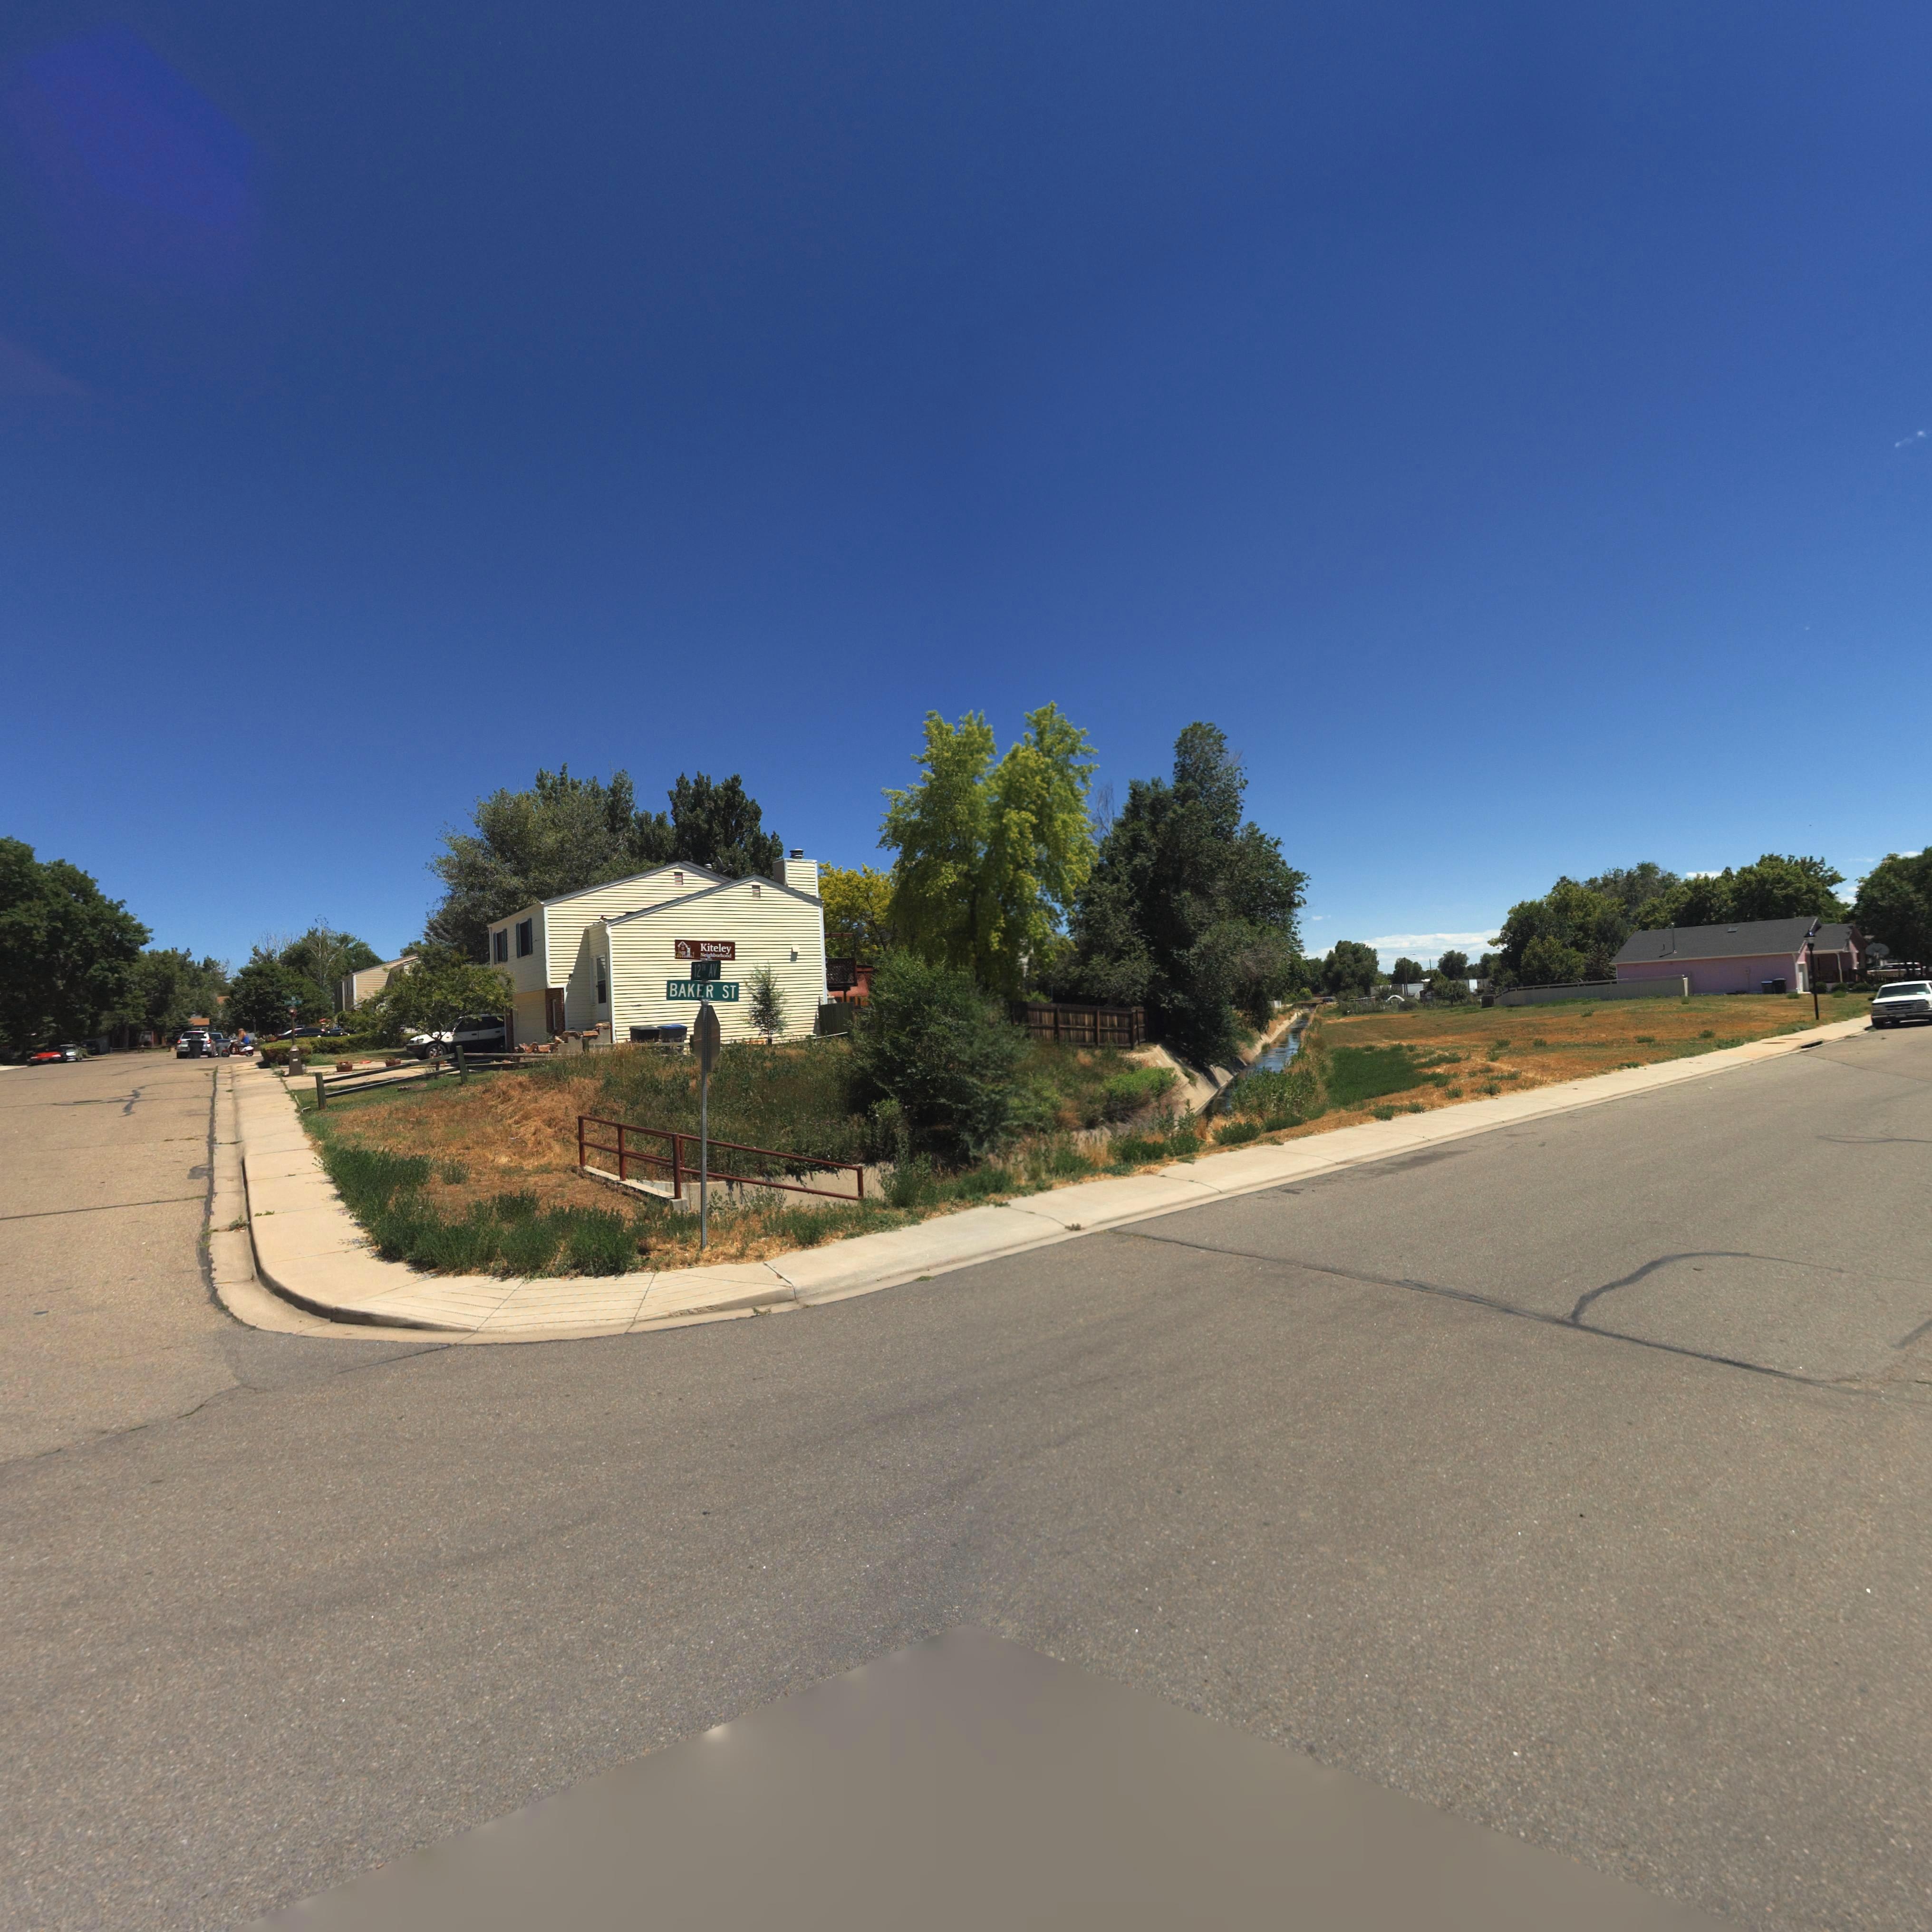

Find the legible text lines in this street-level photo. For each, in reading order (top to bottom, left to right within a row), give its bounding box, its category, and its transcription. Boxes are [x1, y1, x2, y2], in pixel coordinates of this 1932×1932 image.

[694, 963, 718, 977] StreetName: 12TH AV
[669, 982, 736, 999] StreetName: BAKER ST